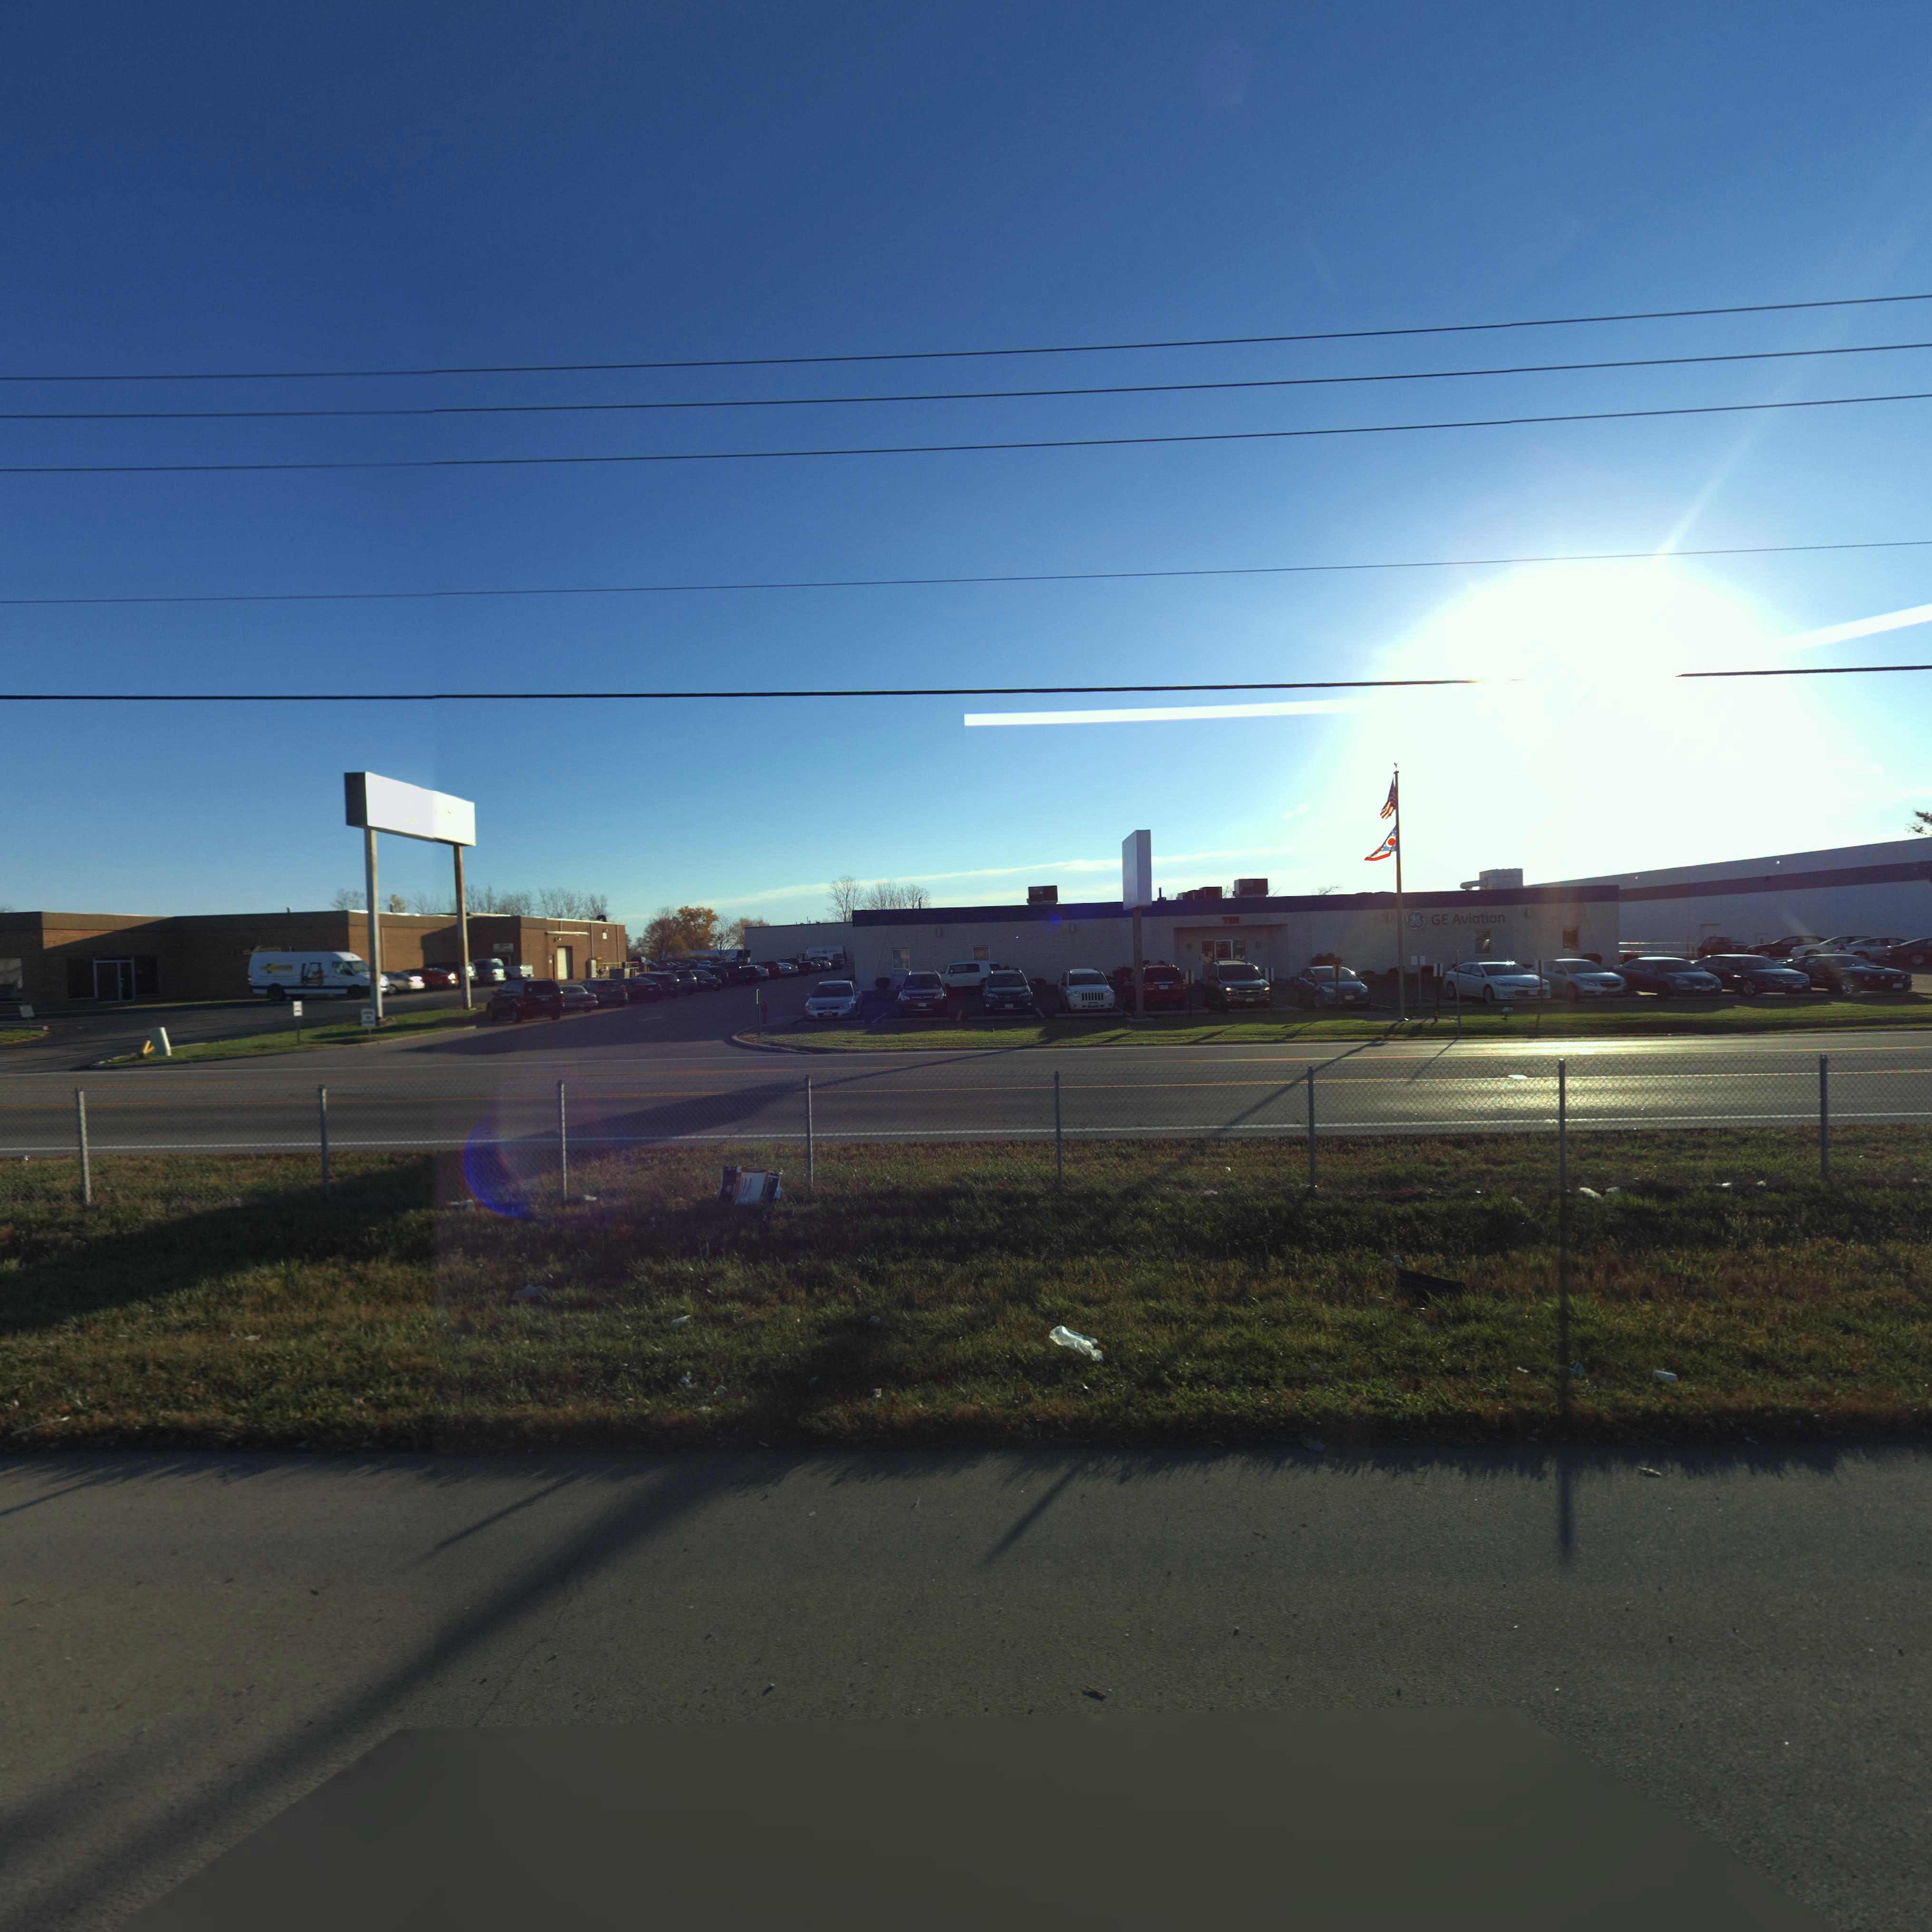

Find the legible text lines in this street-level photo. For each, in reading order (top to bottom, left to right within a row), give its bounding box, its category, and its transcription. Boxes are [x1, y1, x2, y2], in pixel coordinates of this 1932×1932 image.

[1221, 915, 1240, 925] StreetNumber: 701
[1408, 914, 1423, 927] BusinessName: gE
[1431, 912, 1505, 927] BusinessName: GE Aviaiton